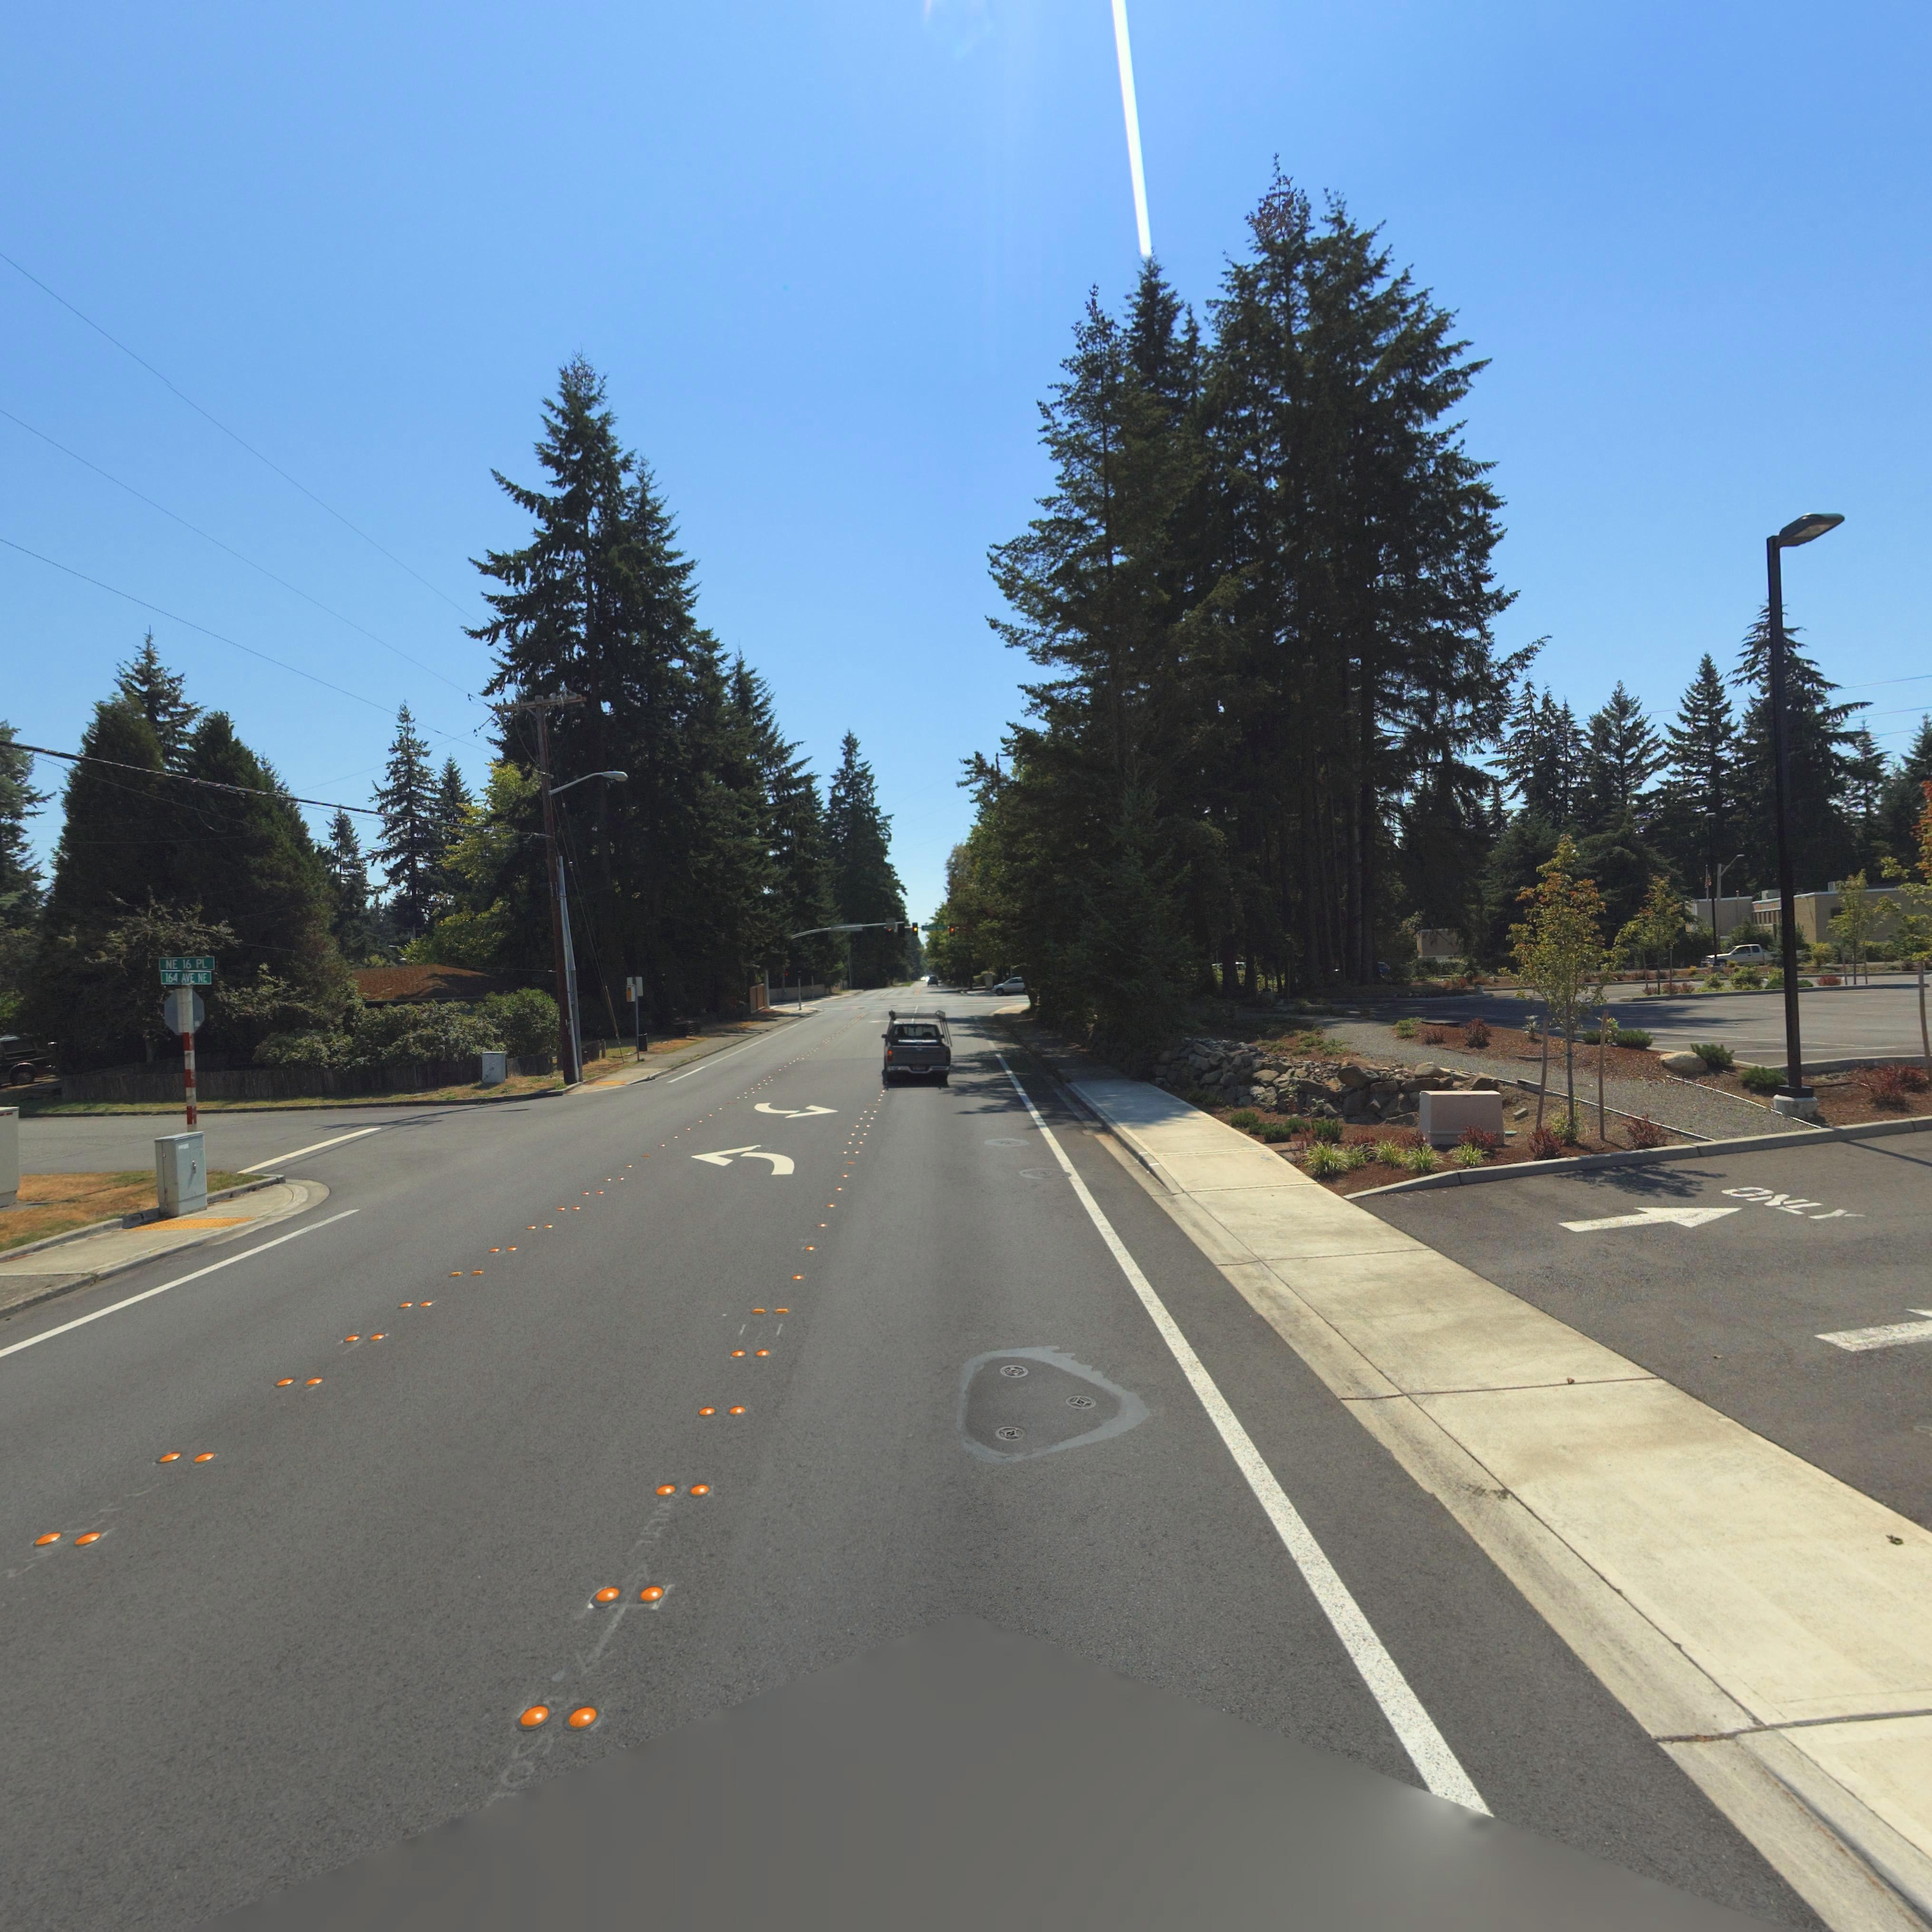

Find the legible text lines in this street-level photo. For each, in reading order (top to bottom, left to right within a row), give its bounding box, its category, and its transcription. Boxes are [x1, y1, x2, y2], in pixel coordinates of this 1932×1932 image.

[165, 958, 208, 969] StreetName: NE 16 PL
[165, 972, 207, 982] StreetName: 164 AVE NE